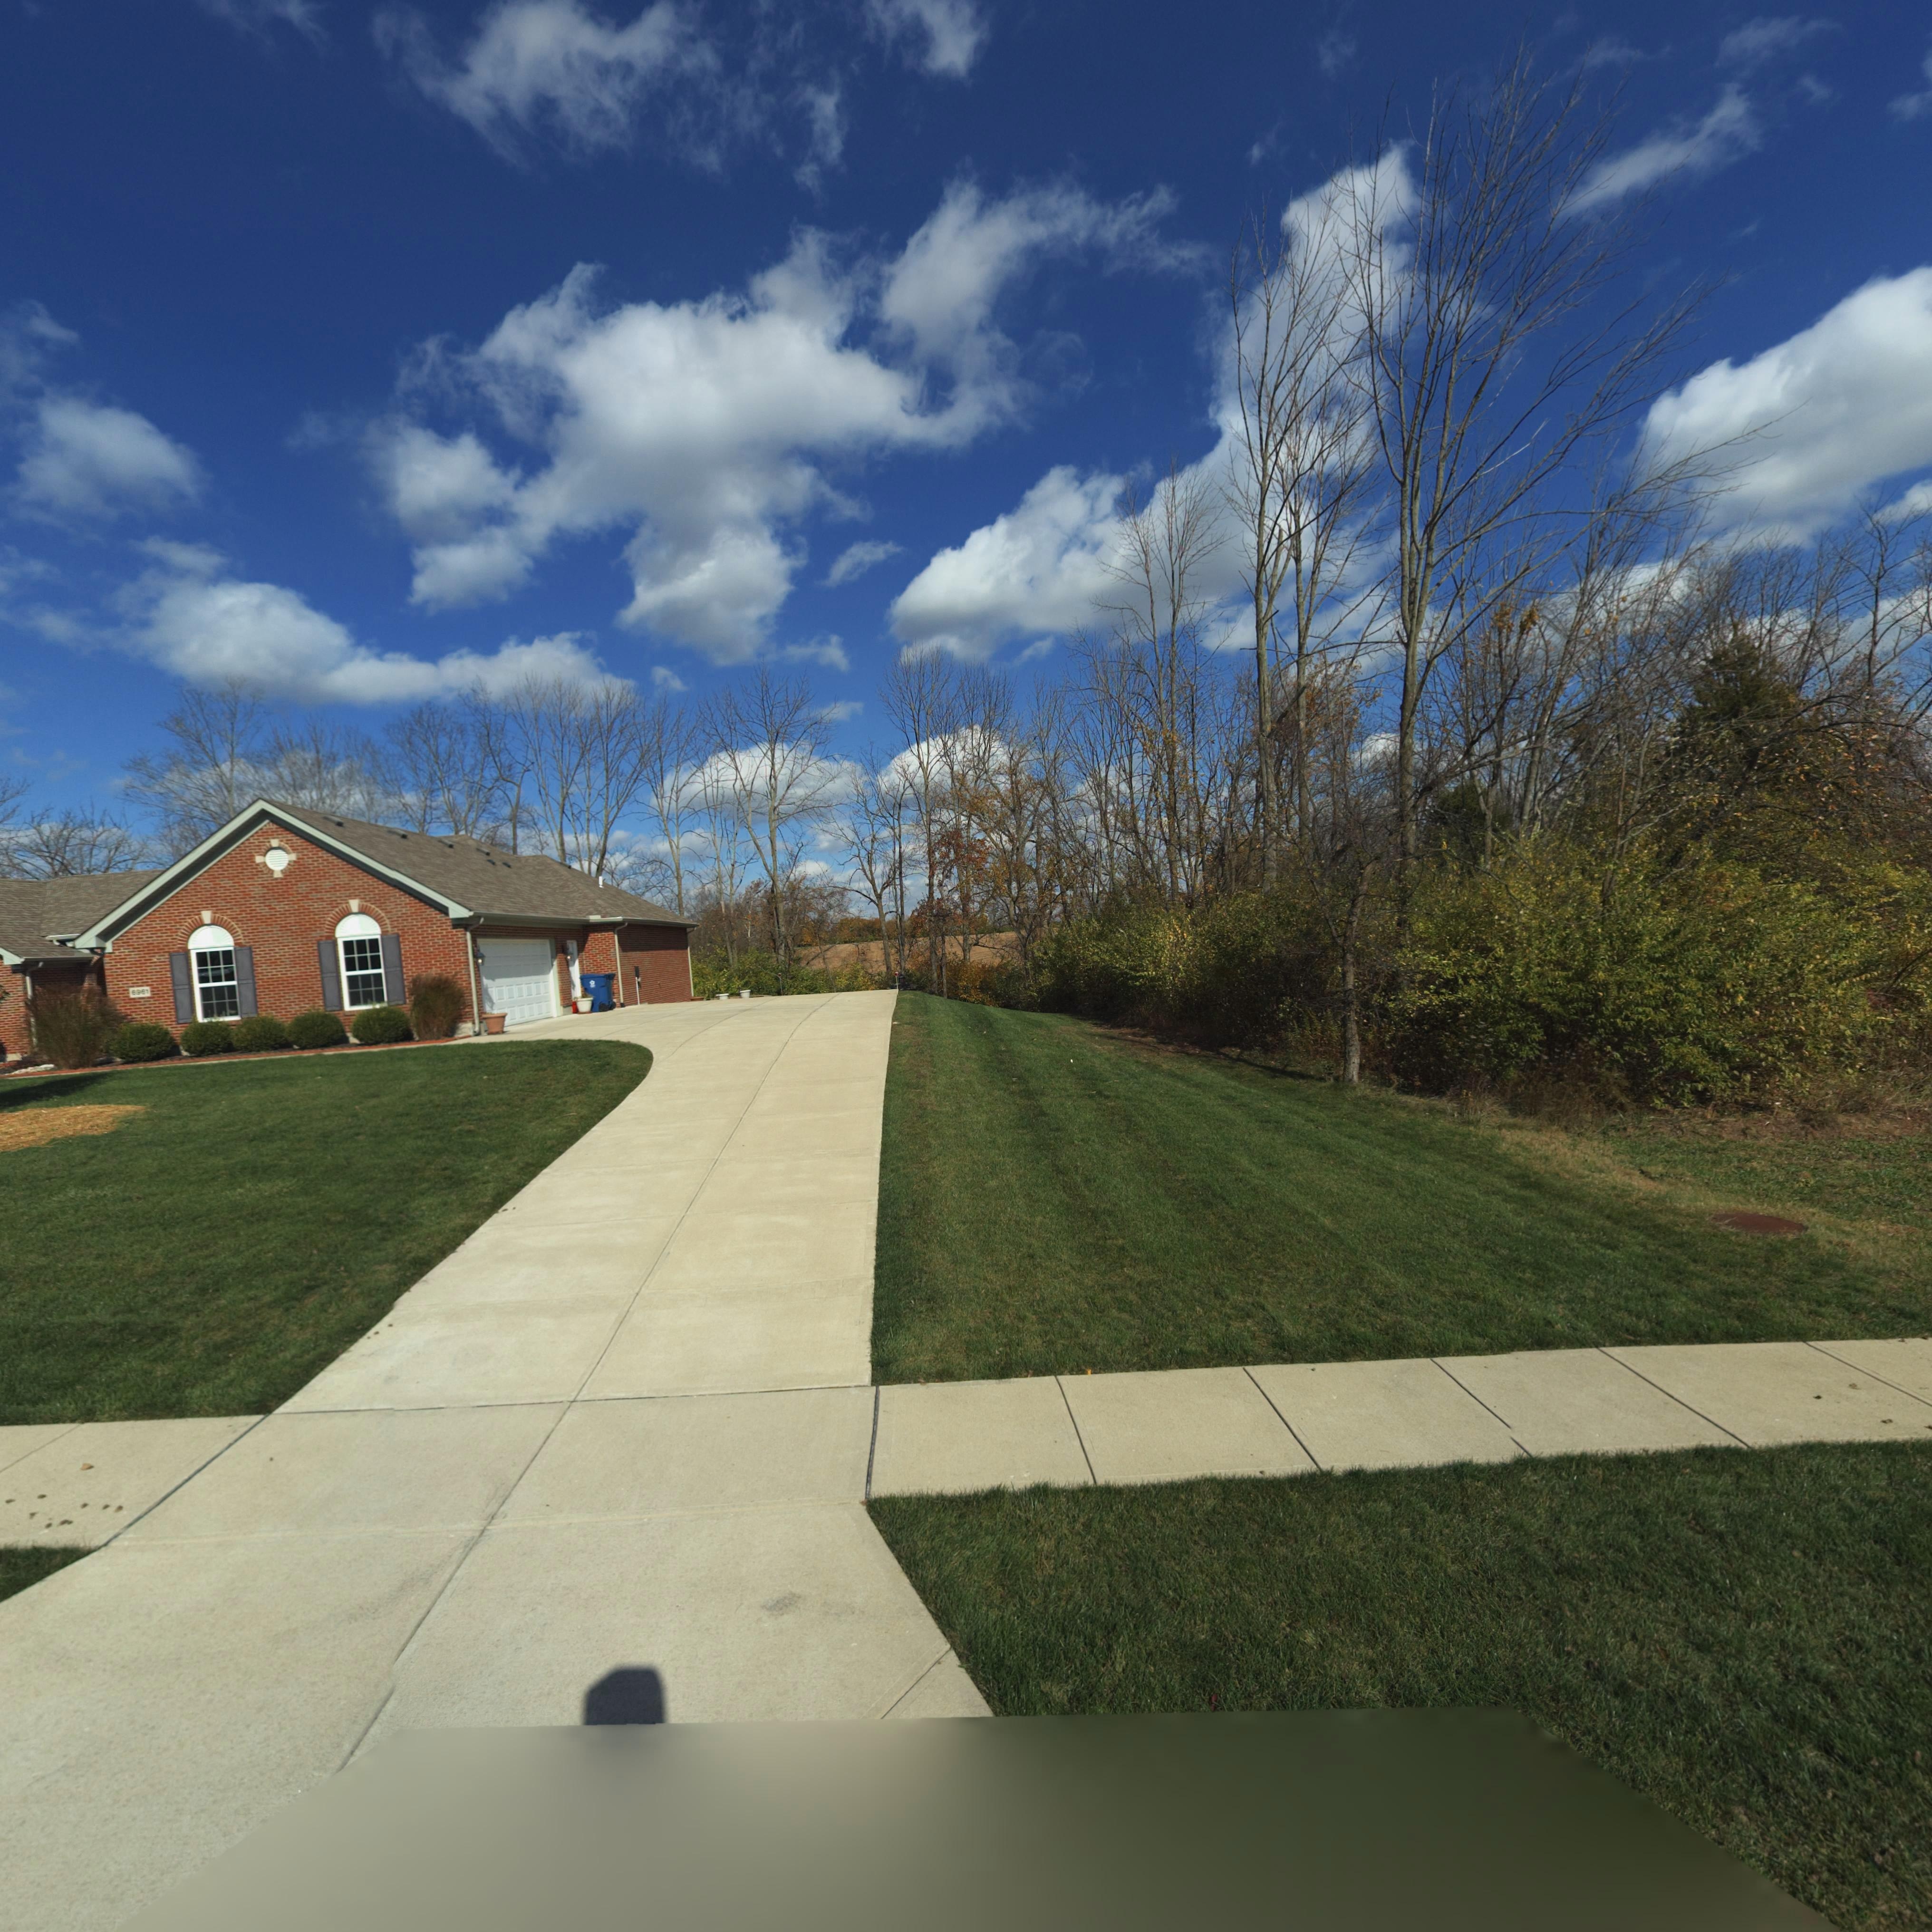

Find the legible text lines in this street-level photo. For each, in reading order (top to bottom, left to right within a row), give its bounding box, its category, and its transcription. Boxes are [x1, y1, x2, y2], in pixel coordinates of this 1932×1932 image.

[131, 988, 150, 996] StreetNumber: 6961